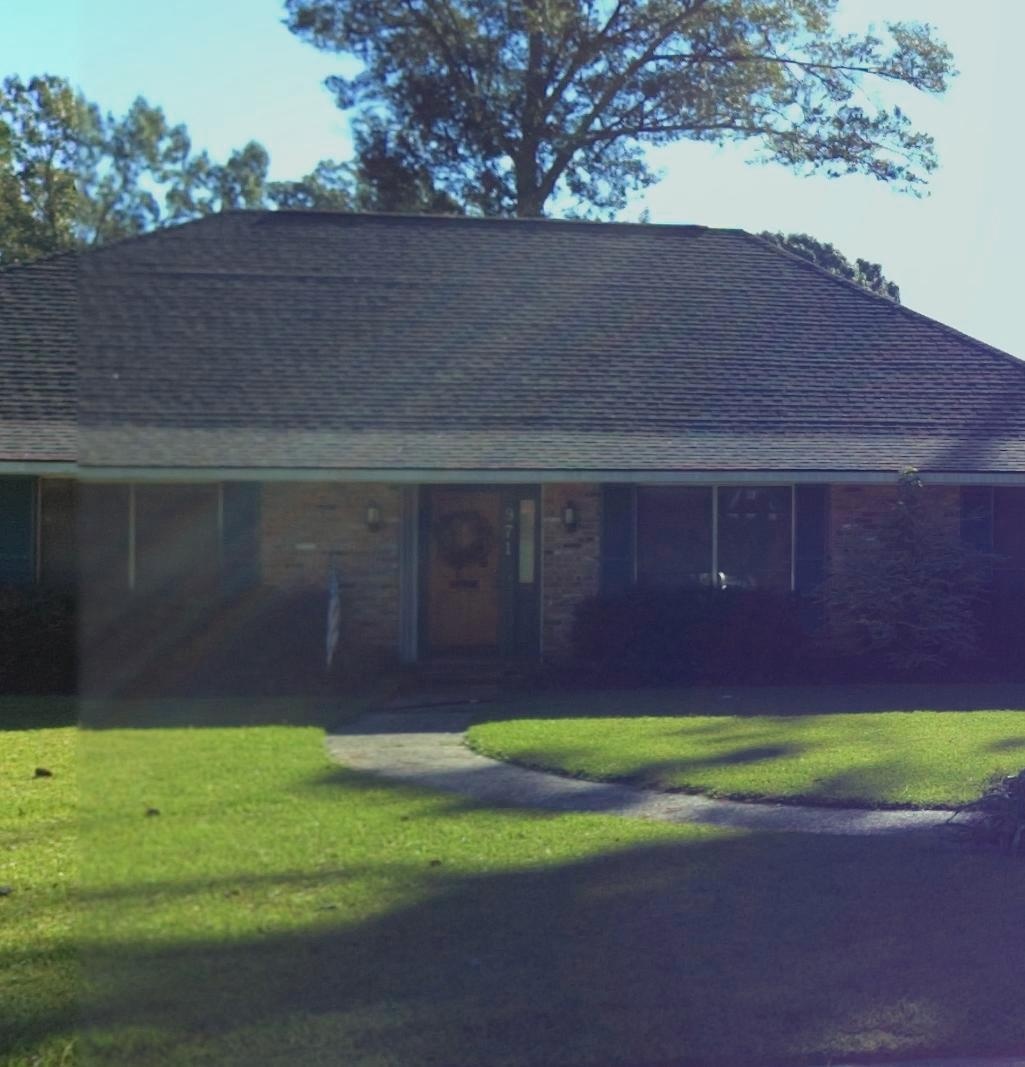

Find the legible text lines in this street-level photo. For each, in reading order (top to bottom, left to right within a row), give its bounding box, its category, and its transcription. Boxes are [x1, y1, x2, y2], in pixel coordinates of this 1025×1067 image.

[502, 504, 517, 558] StreetNumber: 971